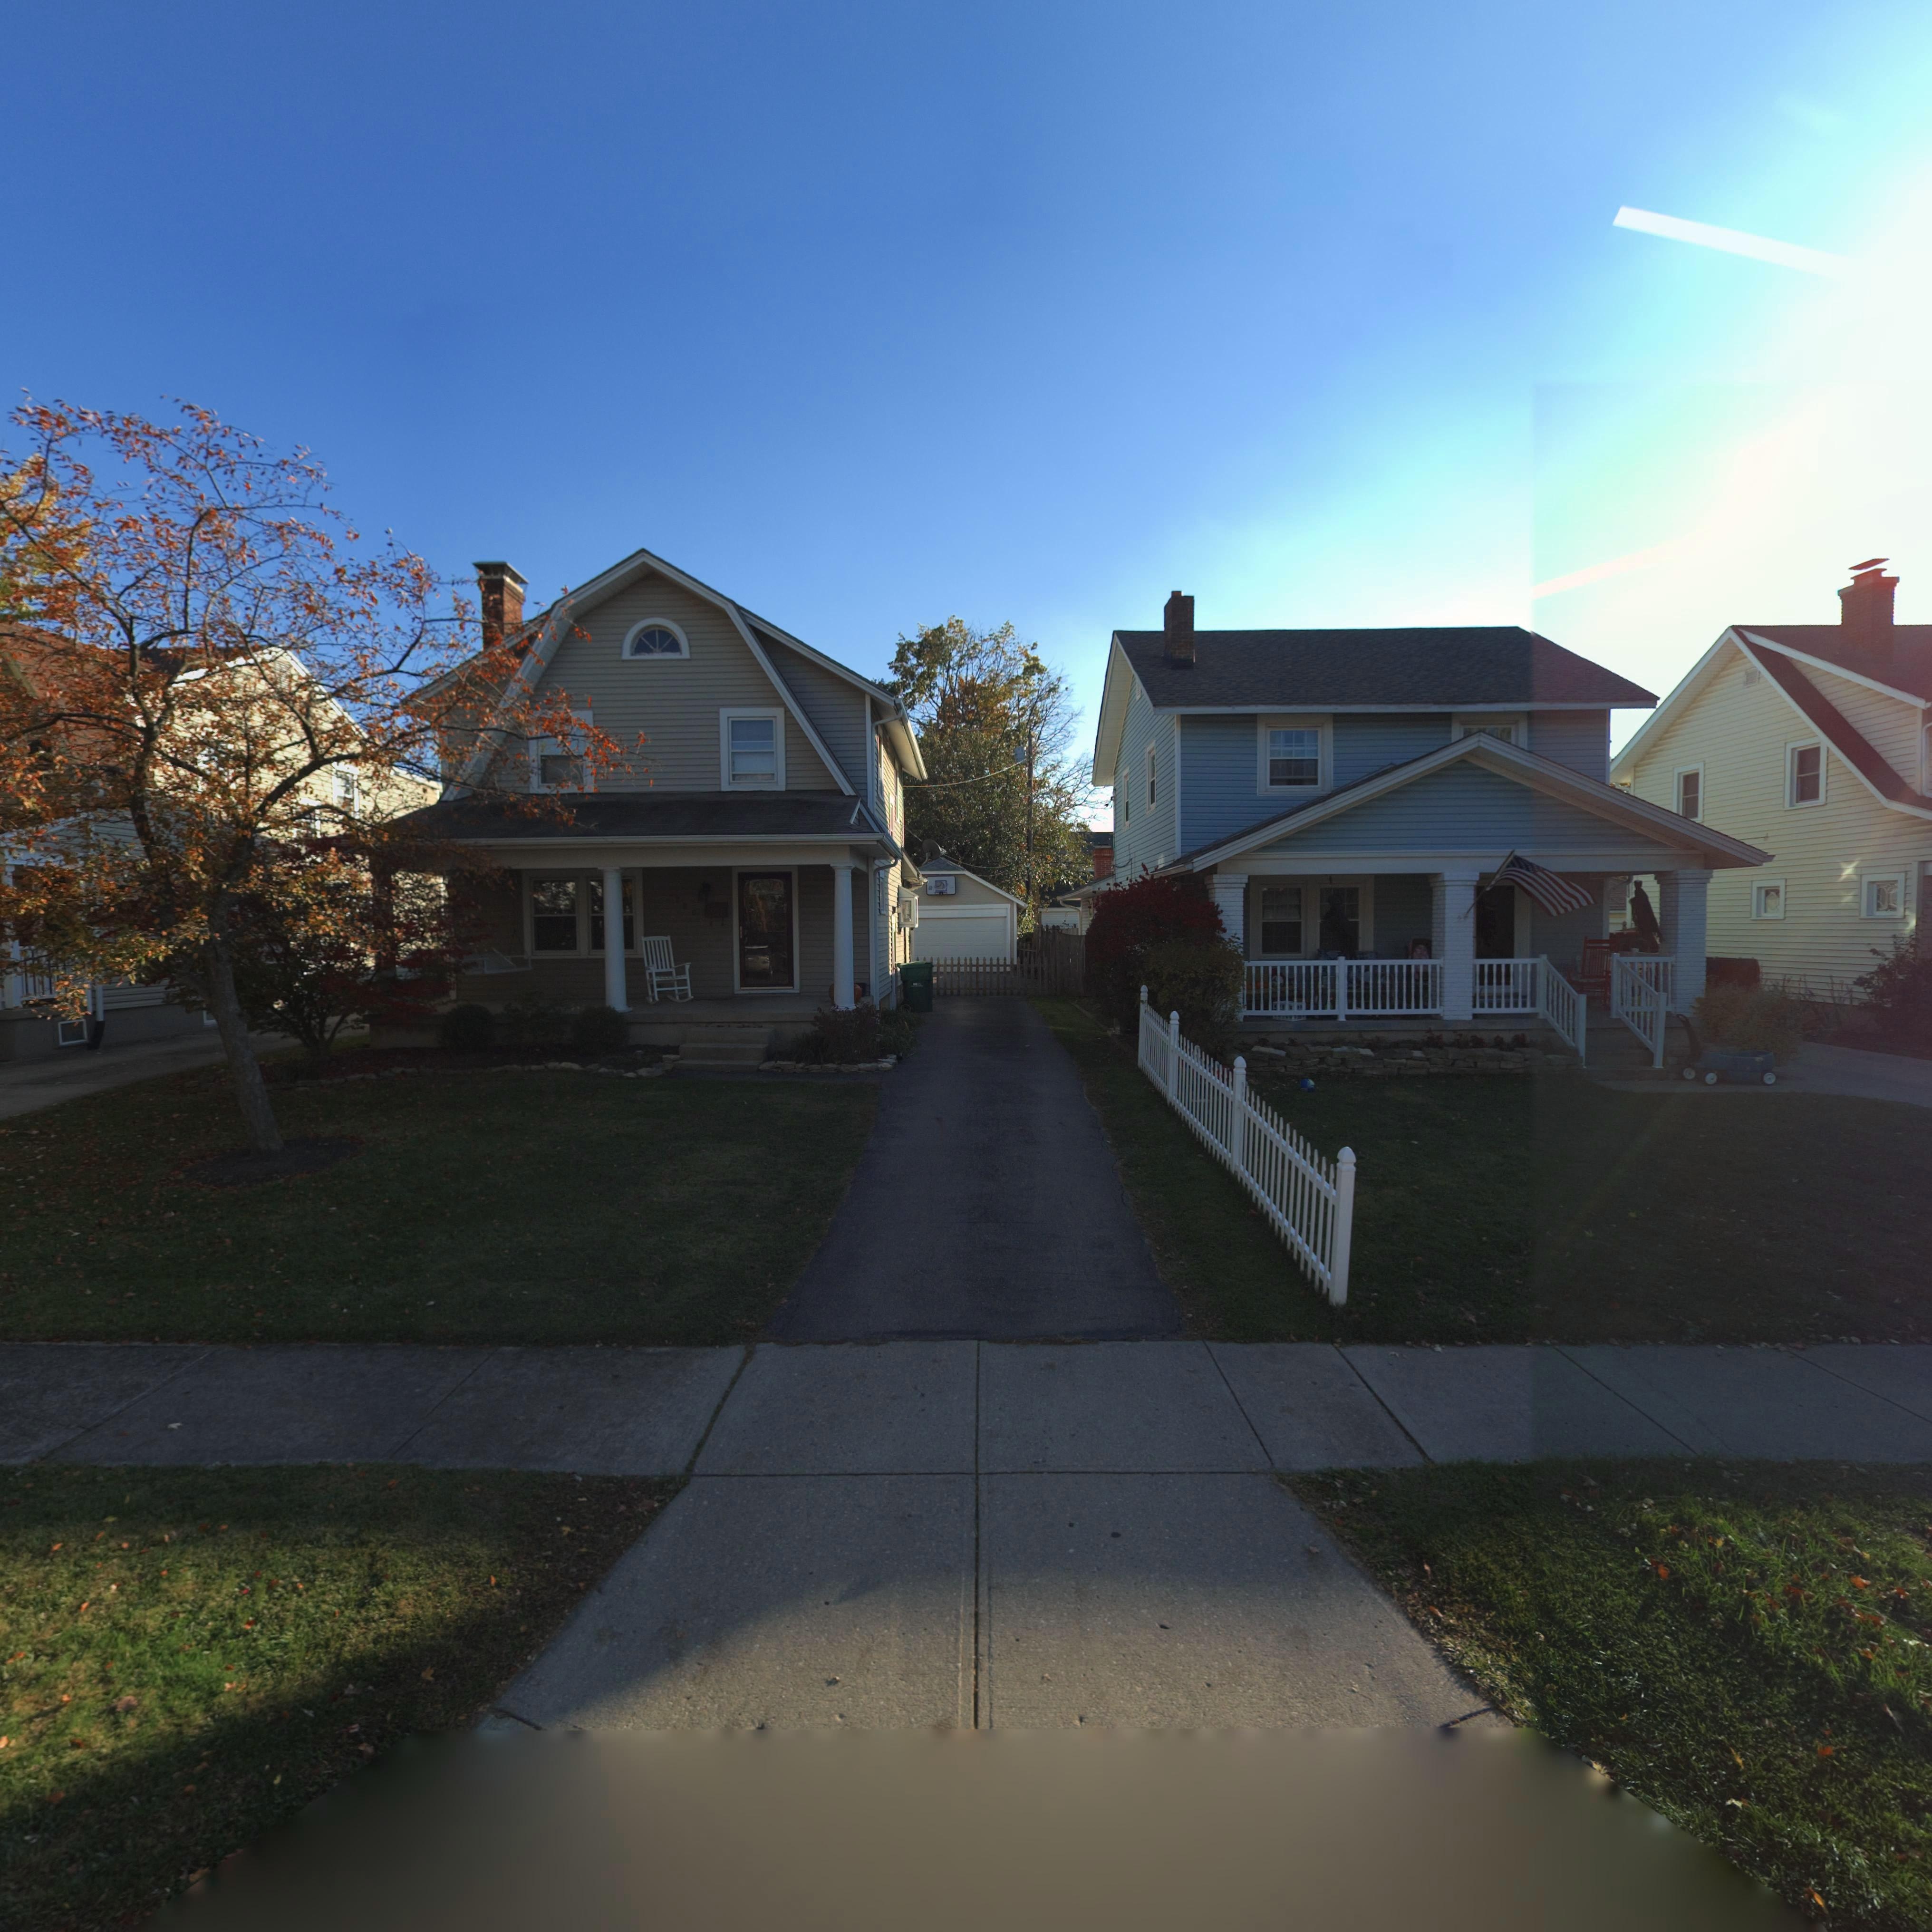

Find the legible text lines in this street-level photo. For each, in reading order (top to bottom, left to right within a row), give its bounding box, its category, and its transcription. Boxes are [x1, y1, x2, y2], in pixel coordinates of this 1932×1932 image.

[674, 895, 696, 916] StreetNumber: 200